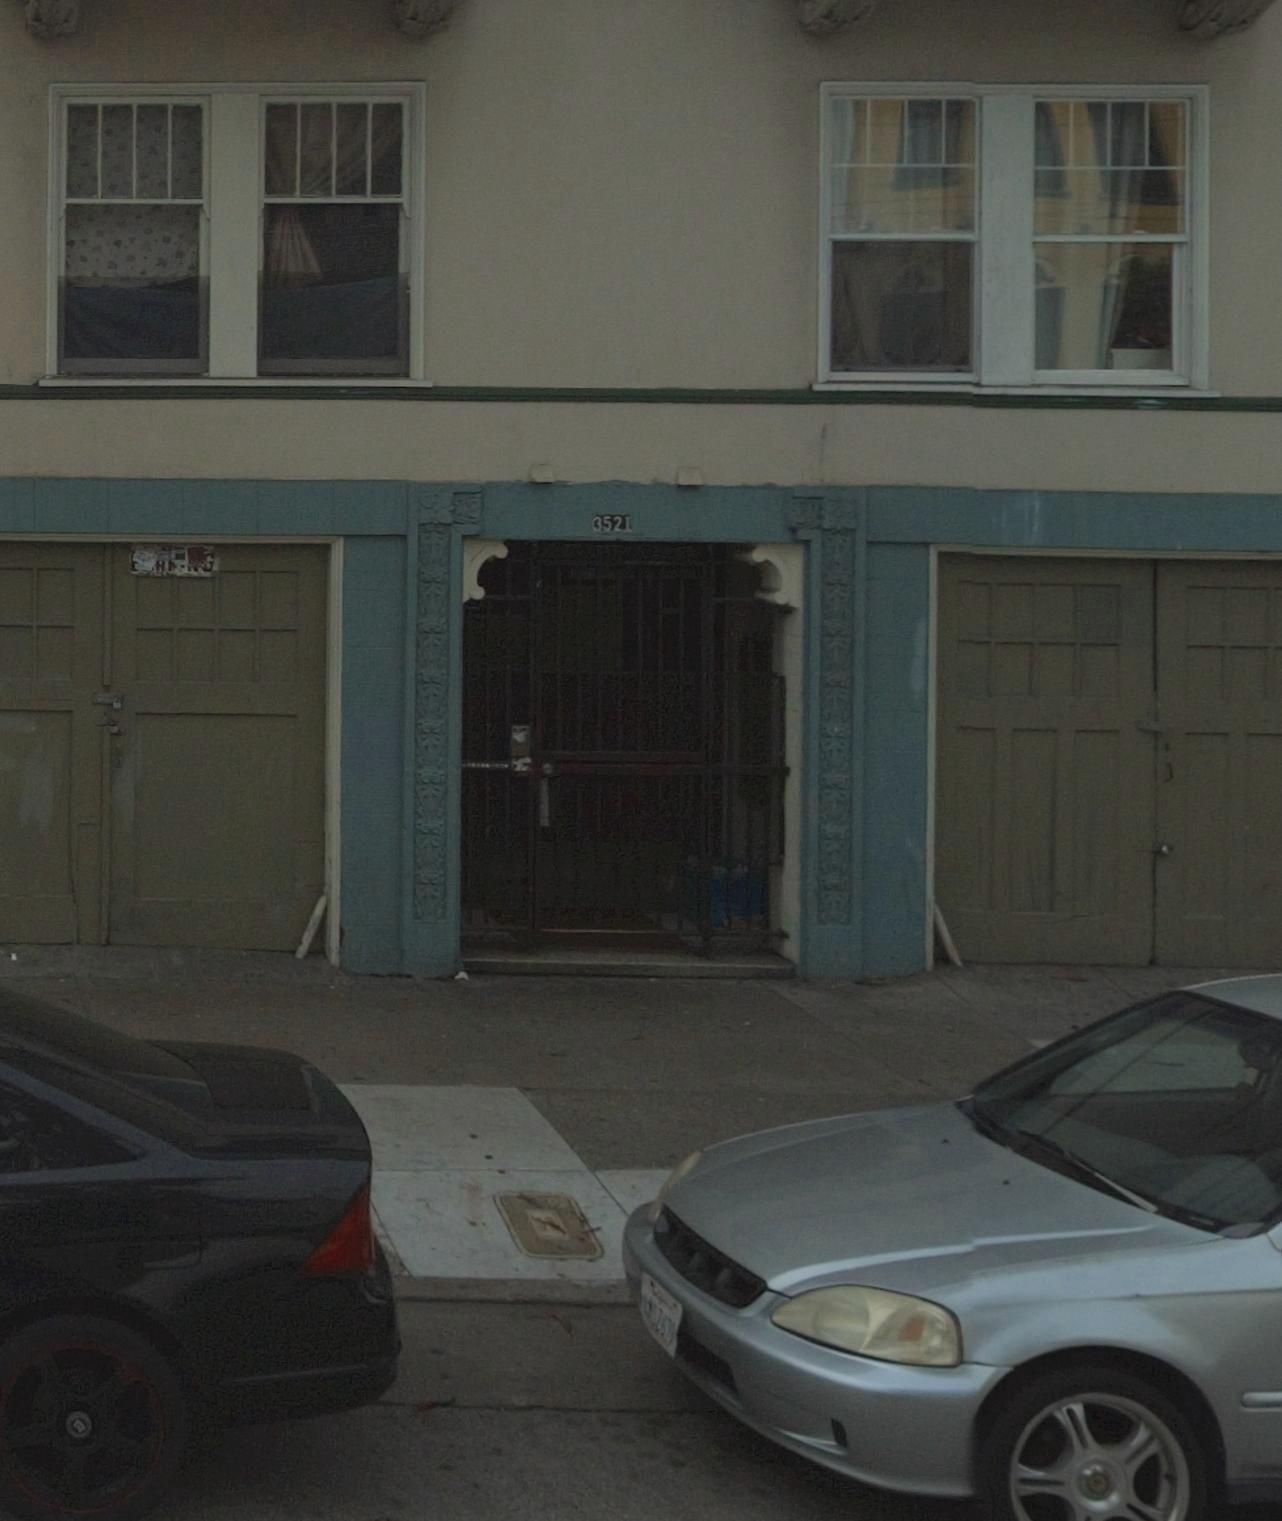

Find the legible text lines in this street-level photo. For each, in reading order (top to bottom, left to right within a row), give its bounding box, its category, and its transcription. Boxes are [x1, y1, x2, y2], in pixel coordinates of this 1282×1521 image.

[593, 515, 634, 533] StreetNumber: 3521